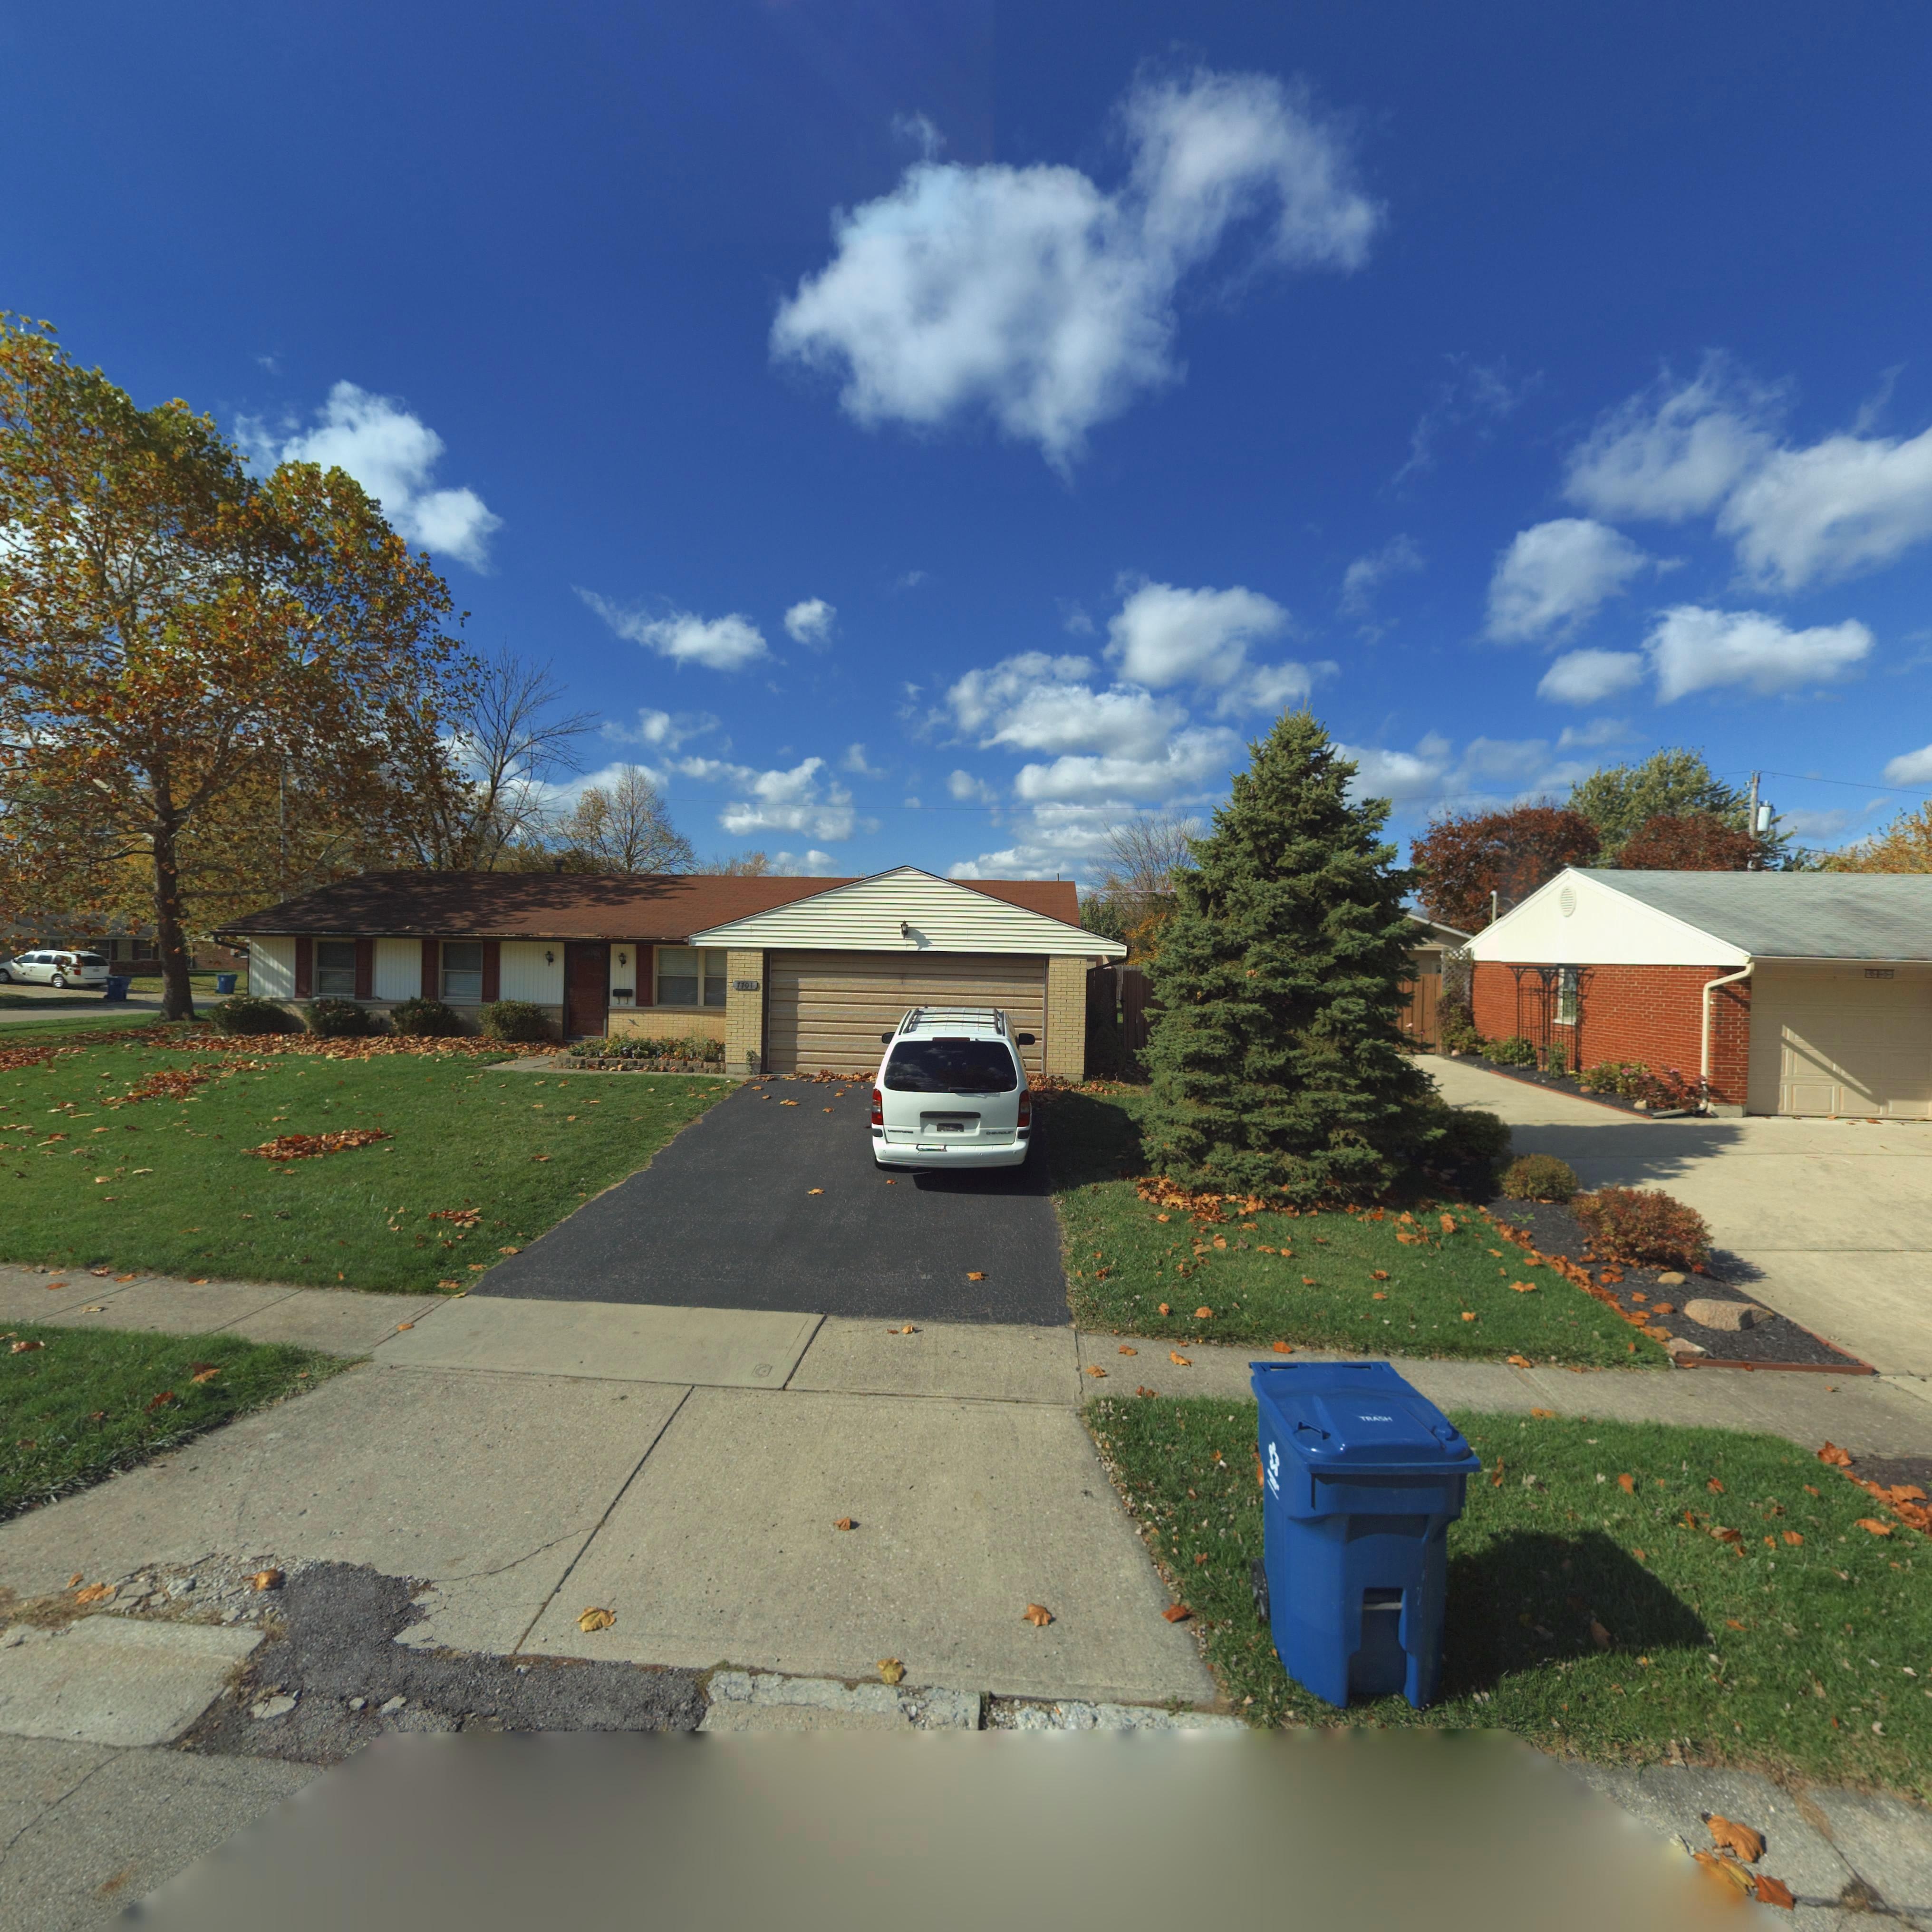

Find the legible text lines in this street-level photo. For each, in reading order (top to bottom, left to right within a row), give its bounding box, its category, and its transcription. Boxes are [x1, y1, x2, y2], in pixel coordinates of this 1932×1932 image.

[736, 982, 753, 989] StreetNumber: 7701